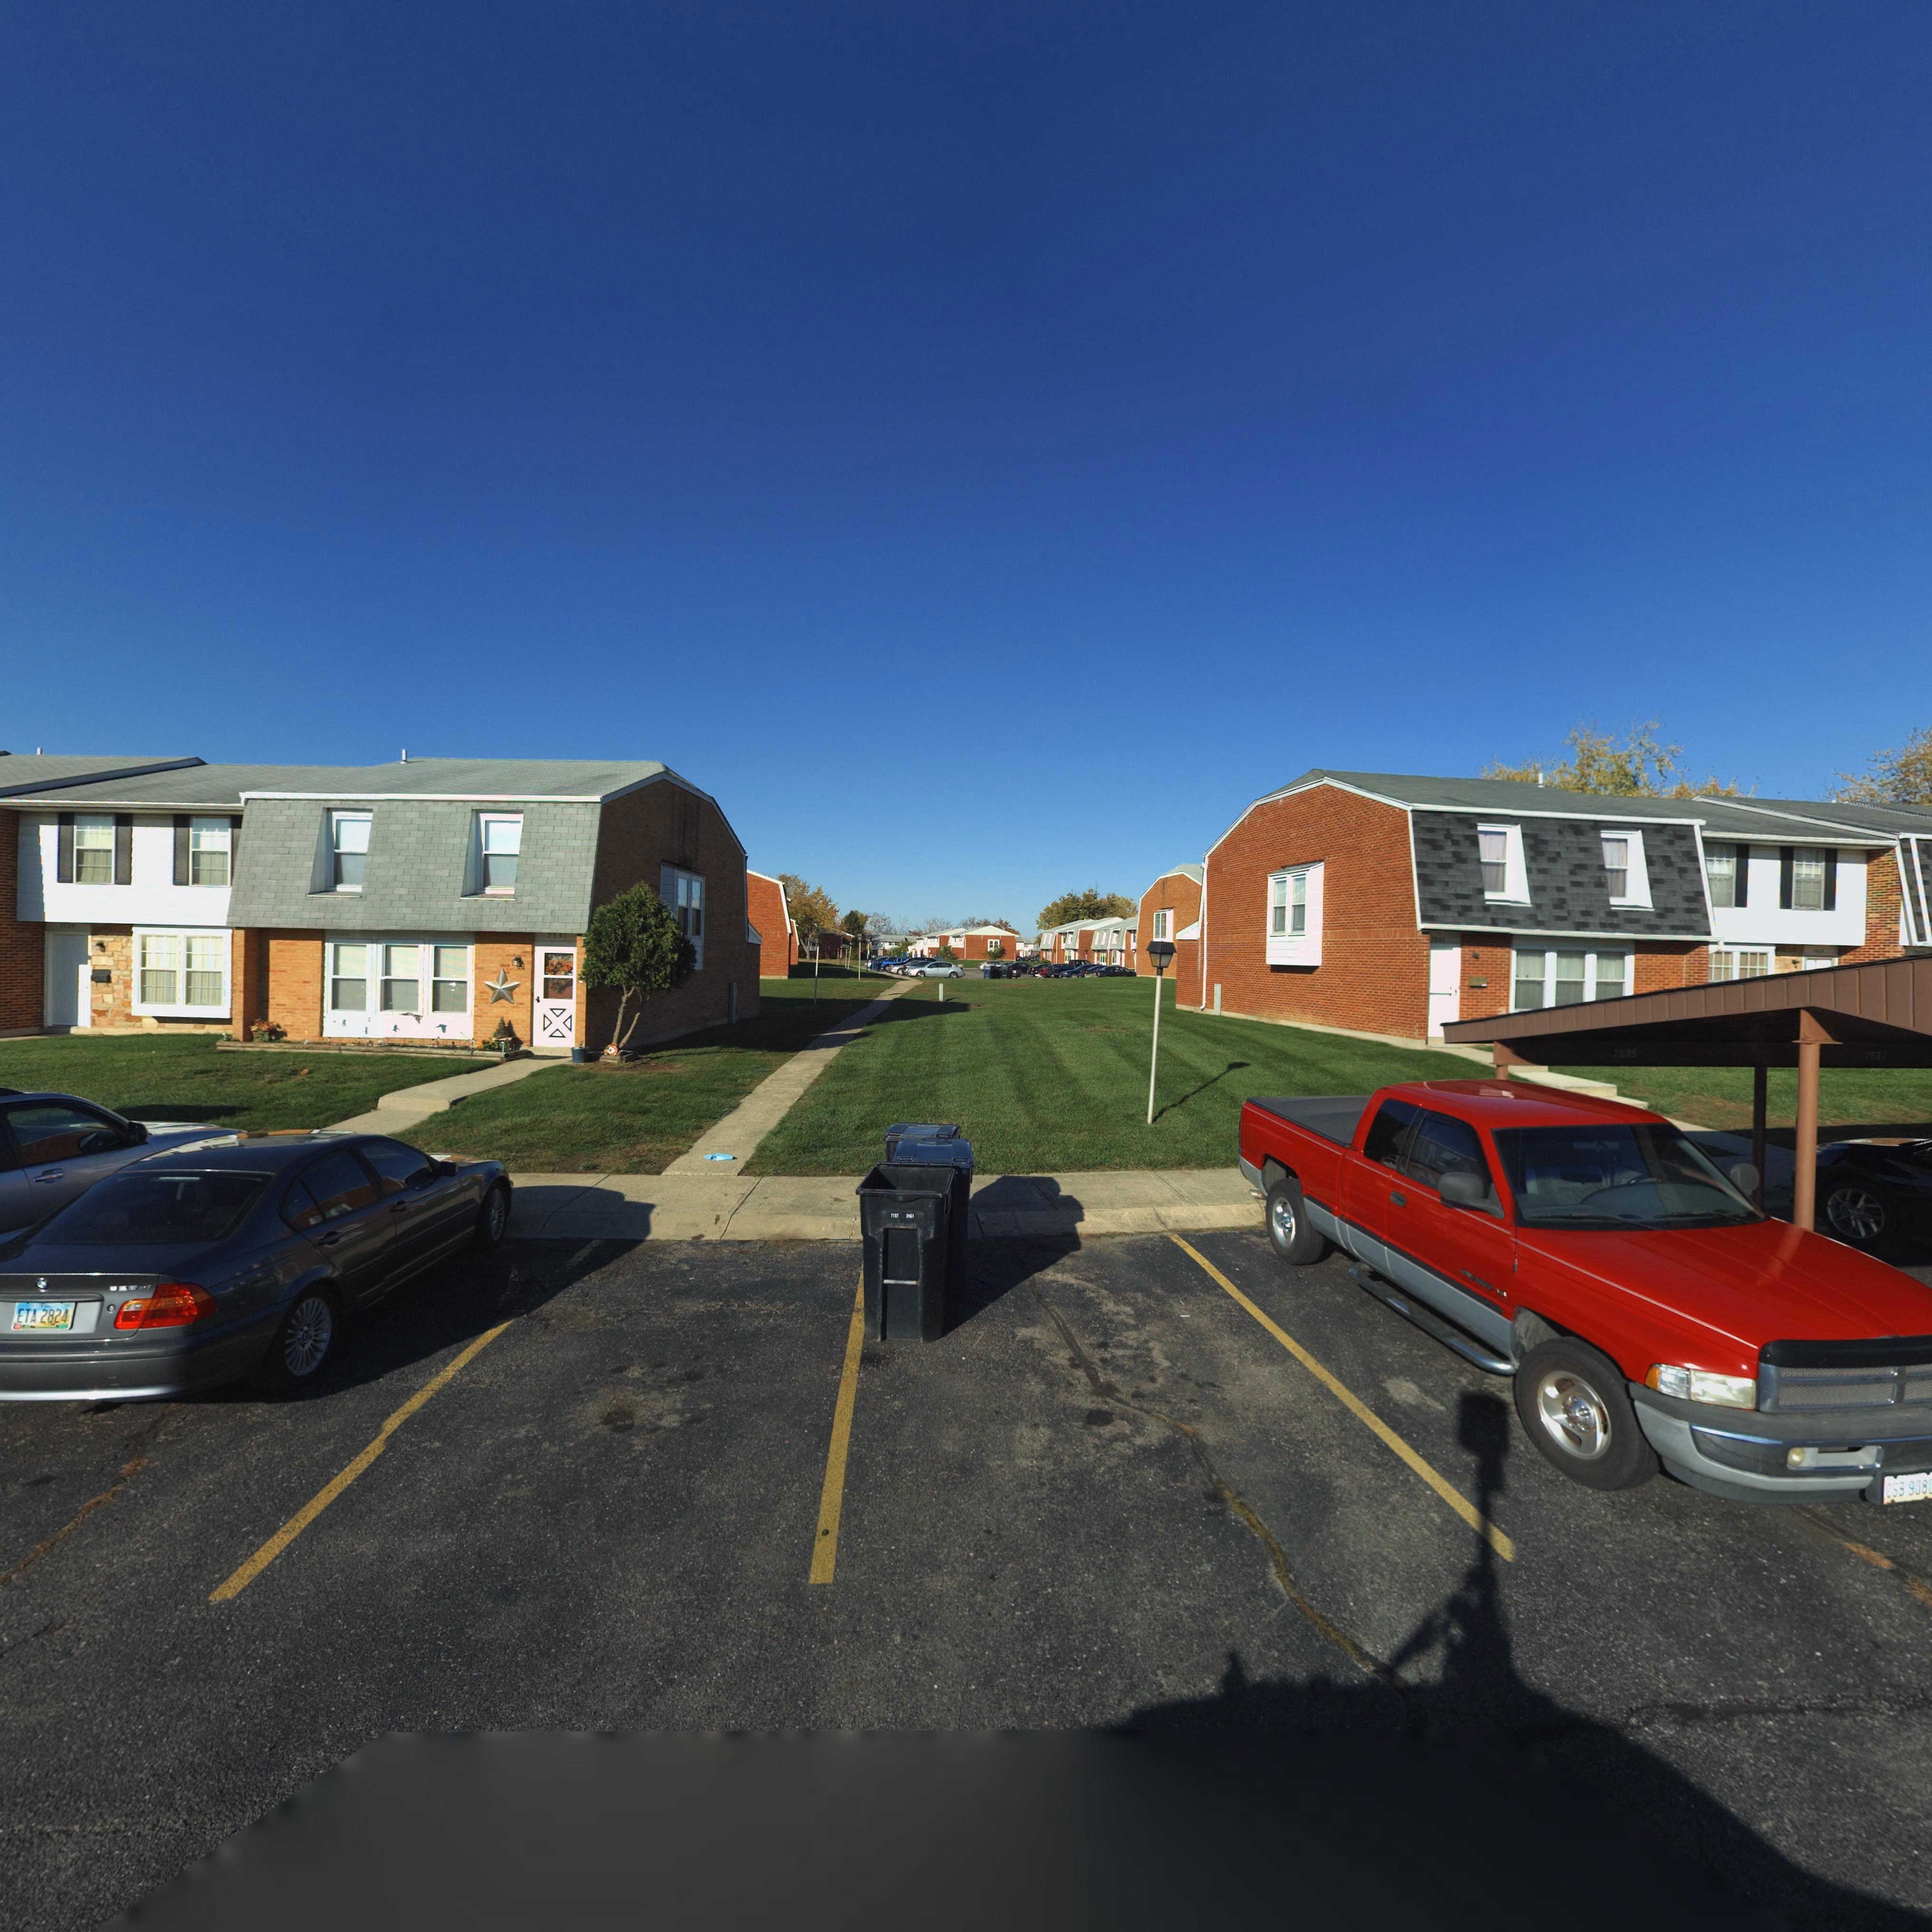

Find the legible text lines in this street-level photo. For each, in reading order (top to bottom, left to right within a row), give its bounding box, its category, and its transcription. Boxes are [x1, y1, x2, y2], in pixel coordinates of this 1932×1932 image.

[58, 923, 75, 928] StreetNumber: 7*29
[547, 932, 567, 938] StreetNumber: 7531
[1430, 936, 1445, 942] StreetNumber: 753*
[1813, 948, 1824, 953] StreetNumber: 751*
[1613, 1049, 1637, 1058] StreetNumber: 7535
[1864, 1051, 1888, 1060] StreetNumber: 7537